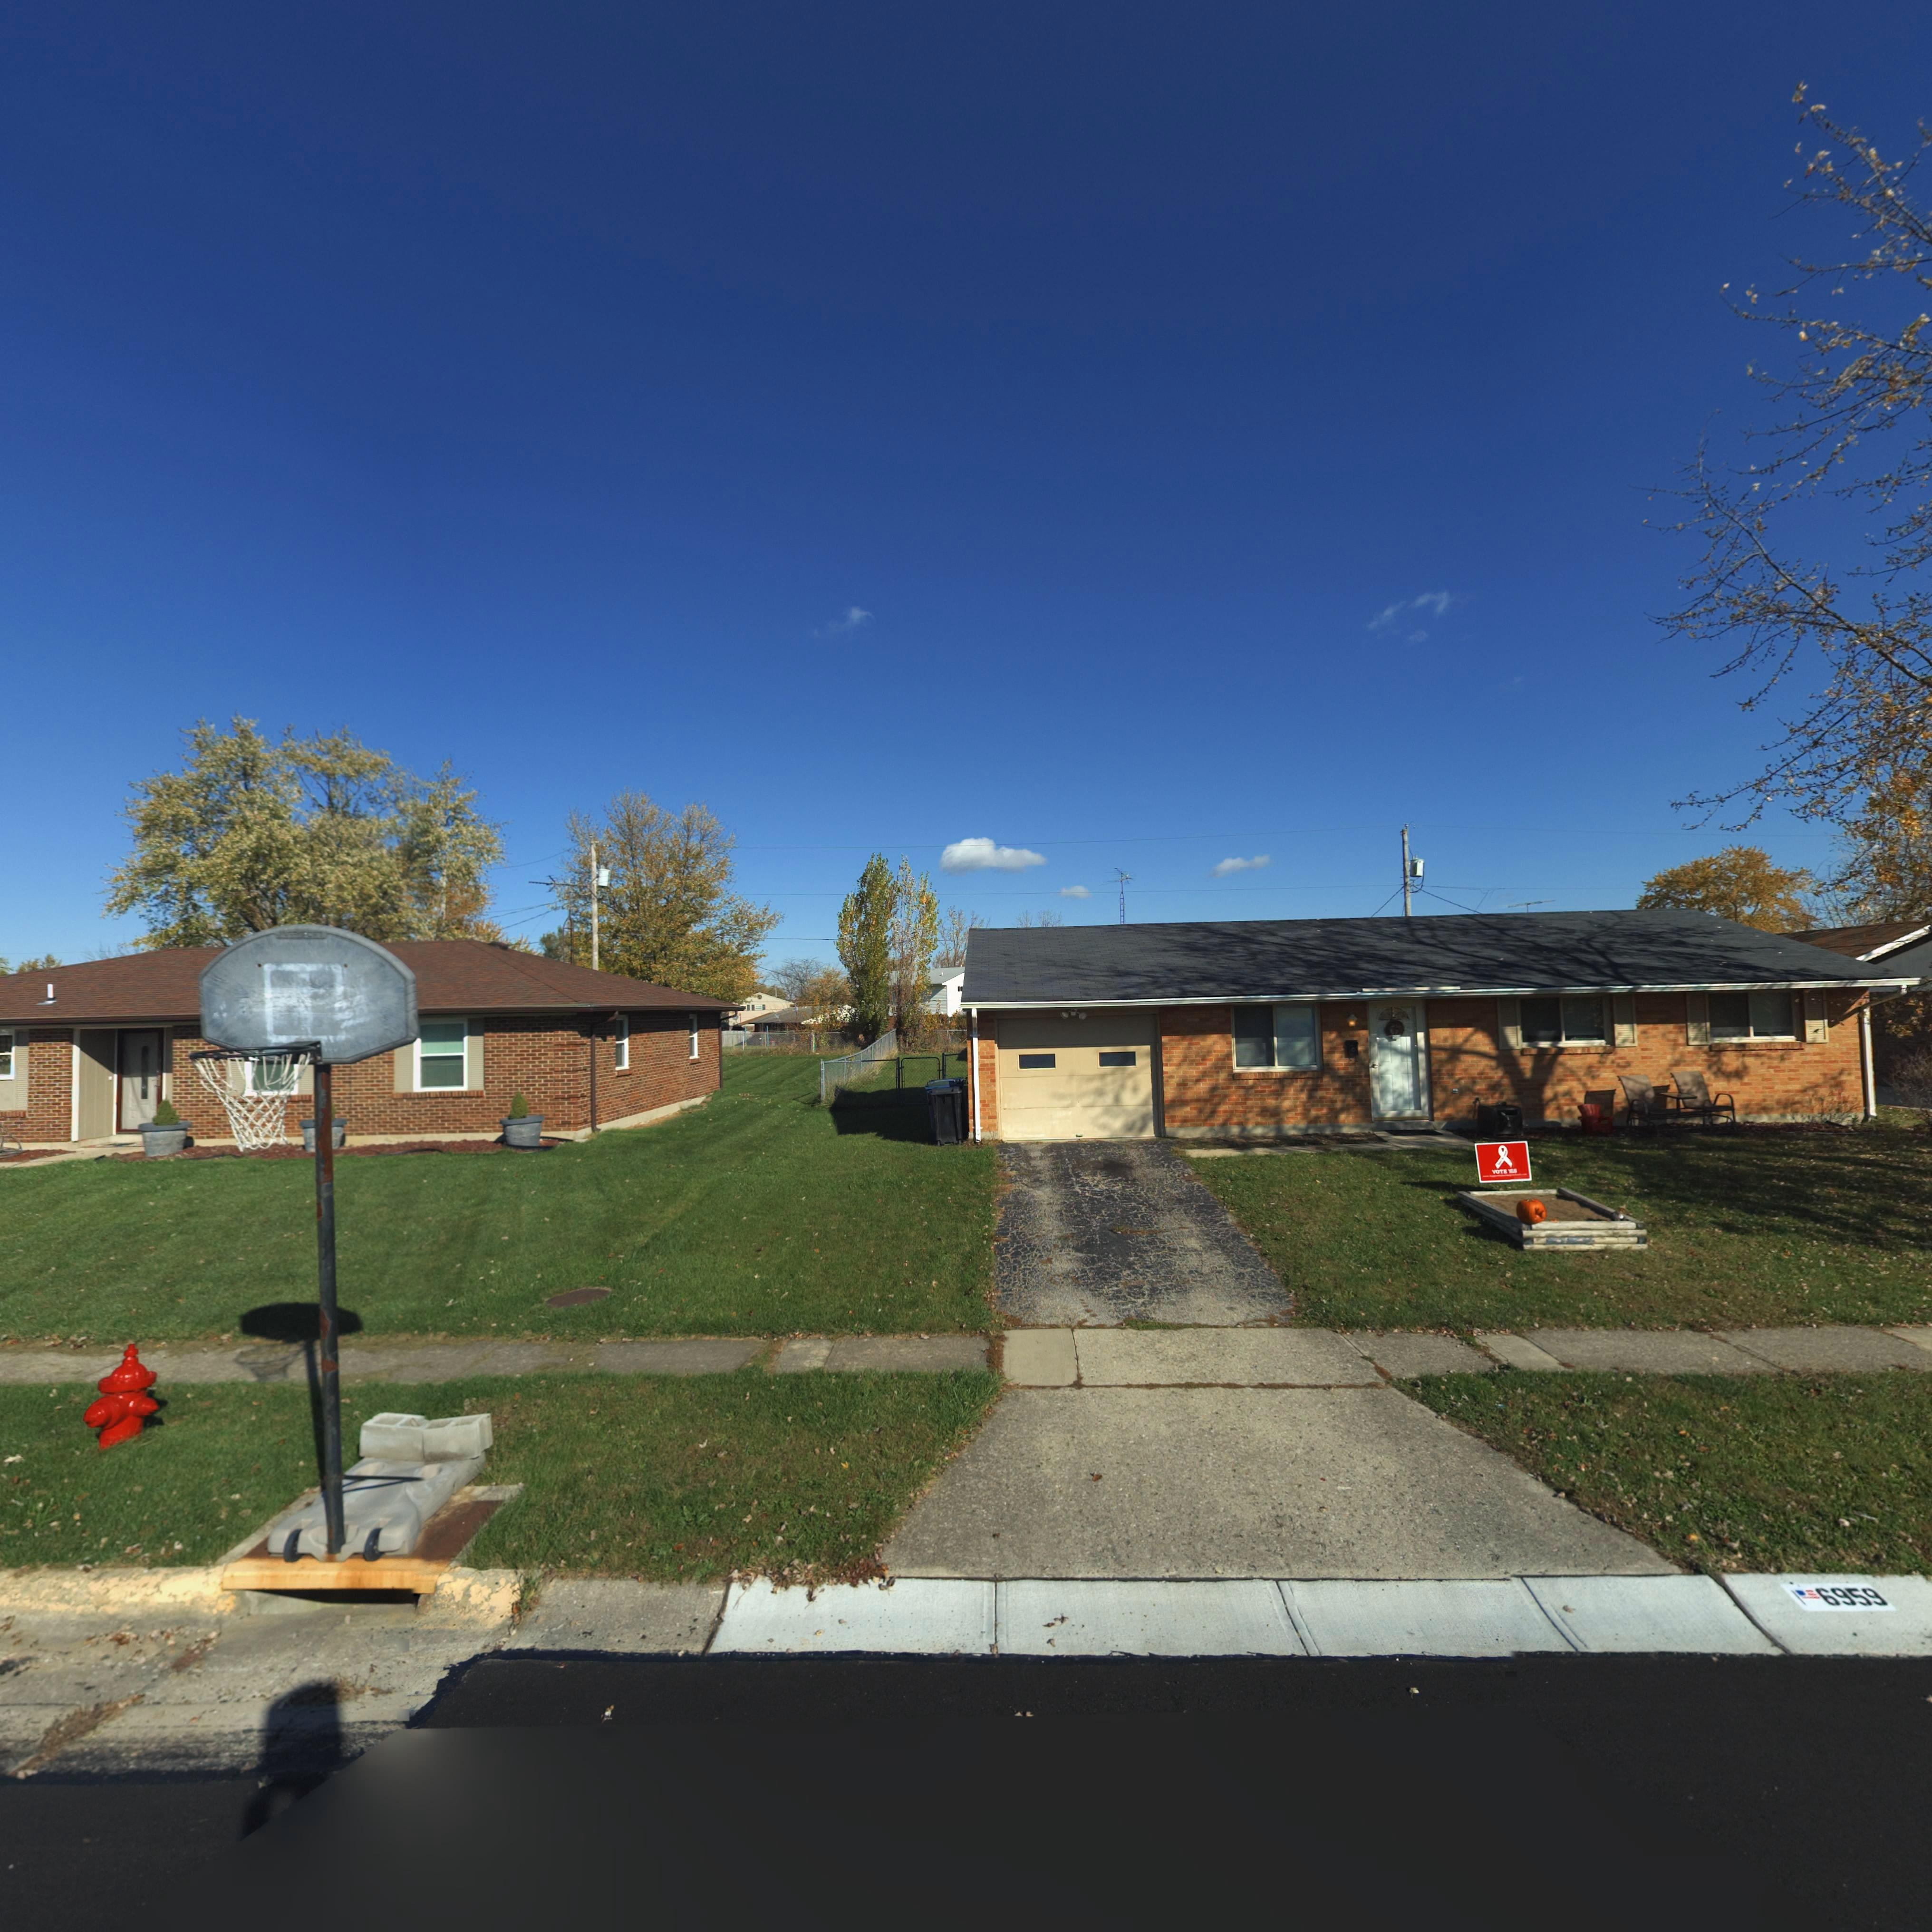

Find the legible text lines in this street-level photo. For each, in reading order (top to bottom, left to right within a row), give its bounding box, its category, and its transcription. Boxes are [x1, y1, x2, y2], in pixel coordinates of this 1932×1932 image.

[1814, 1587, 1890, 1606] StreetNumber: 6959